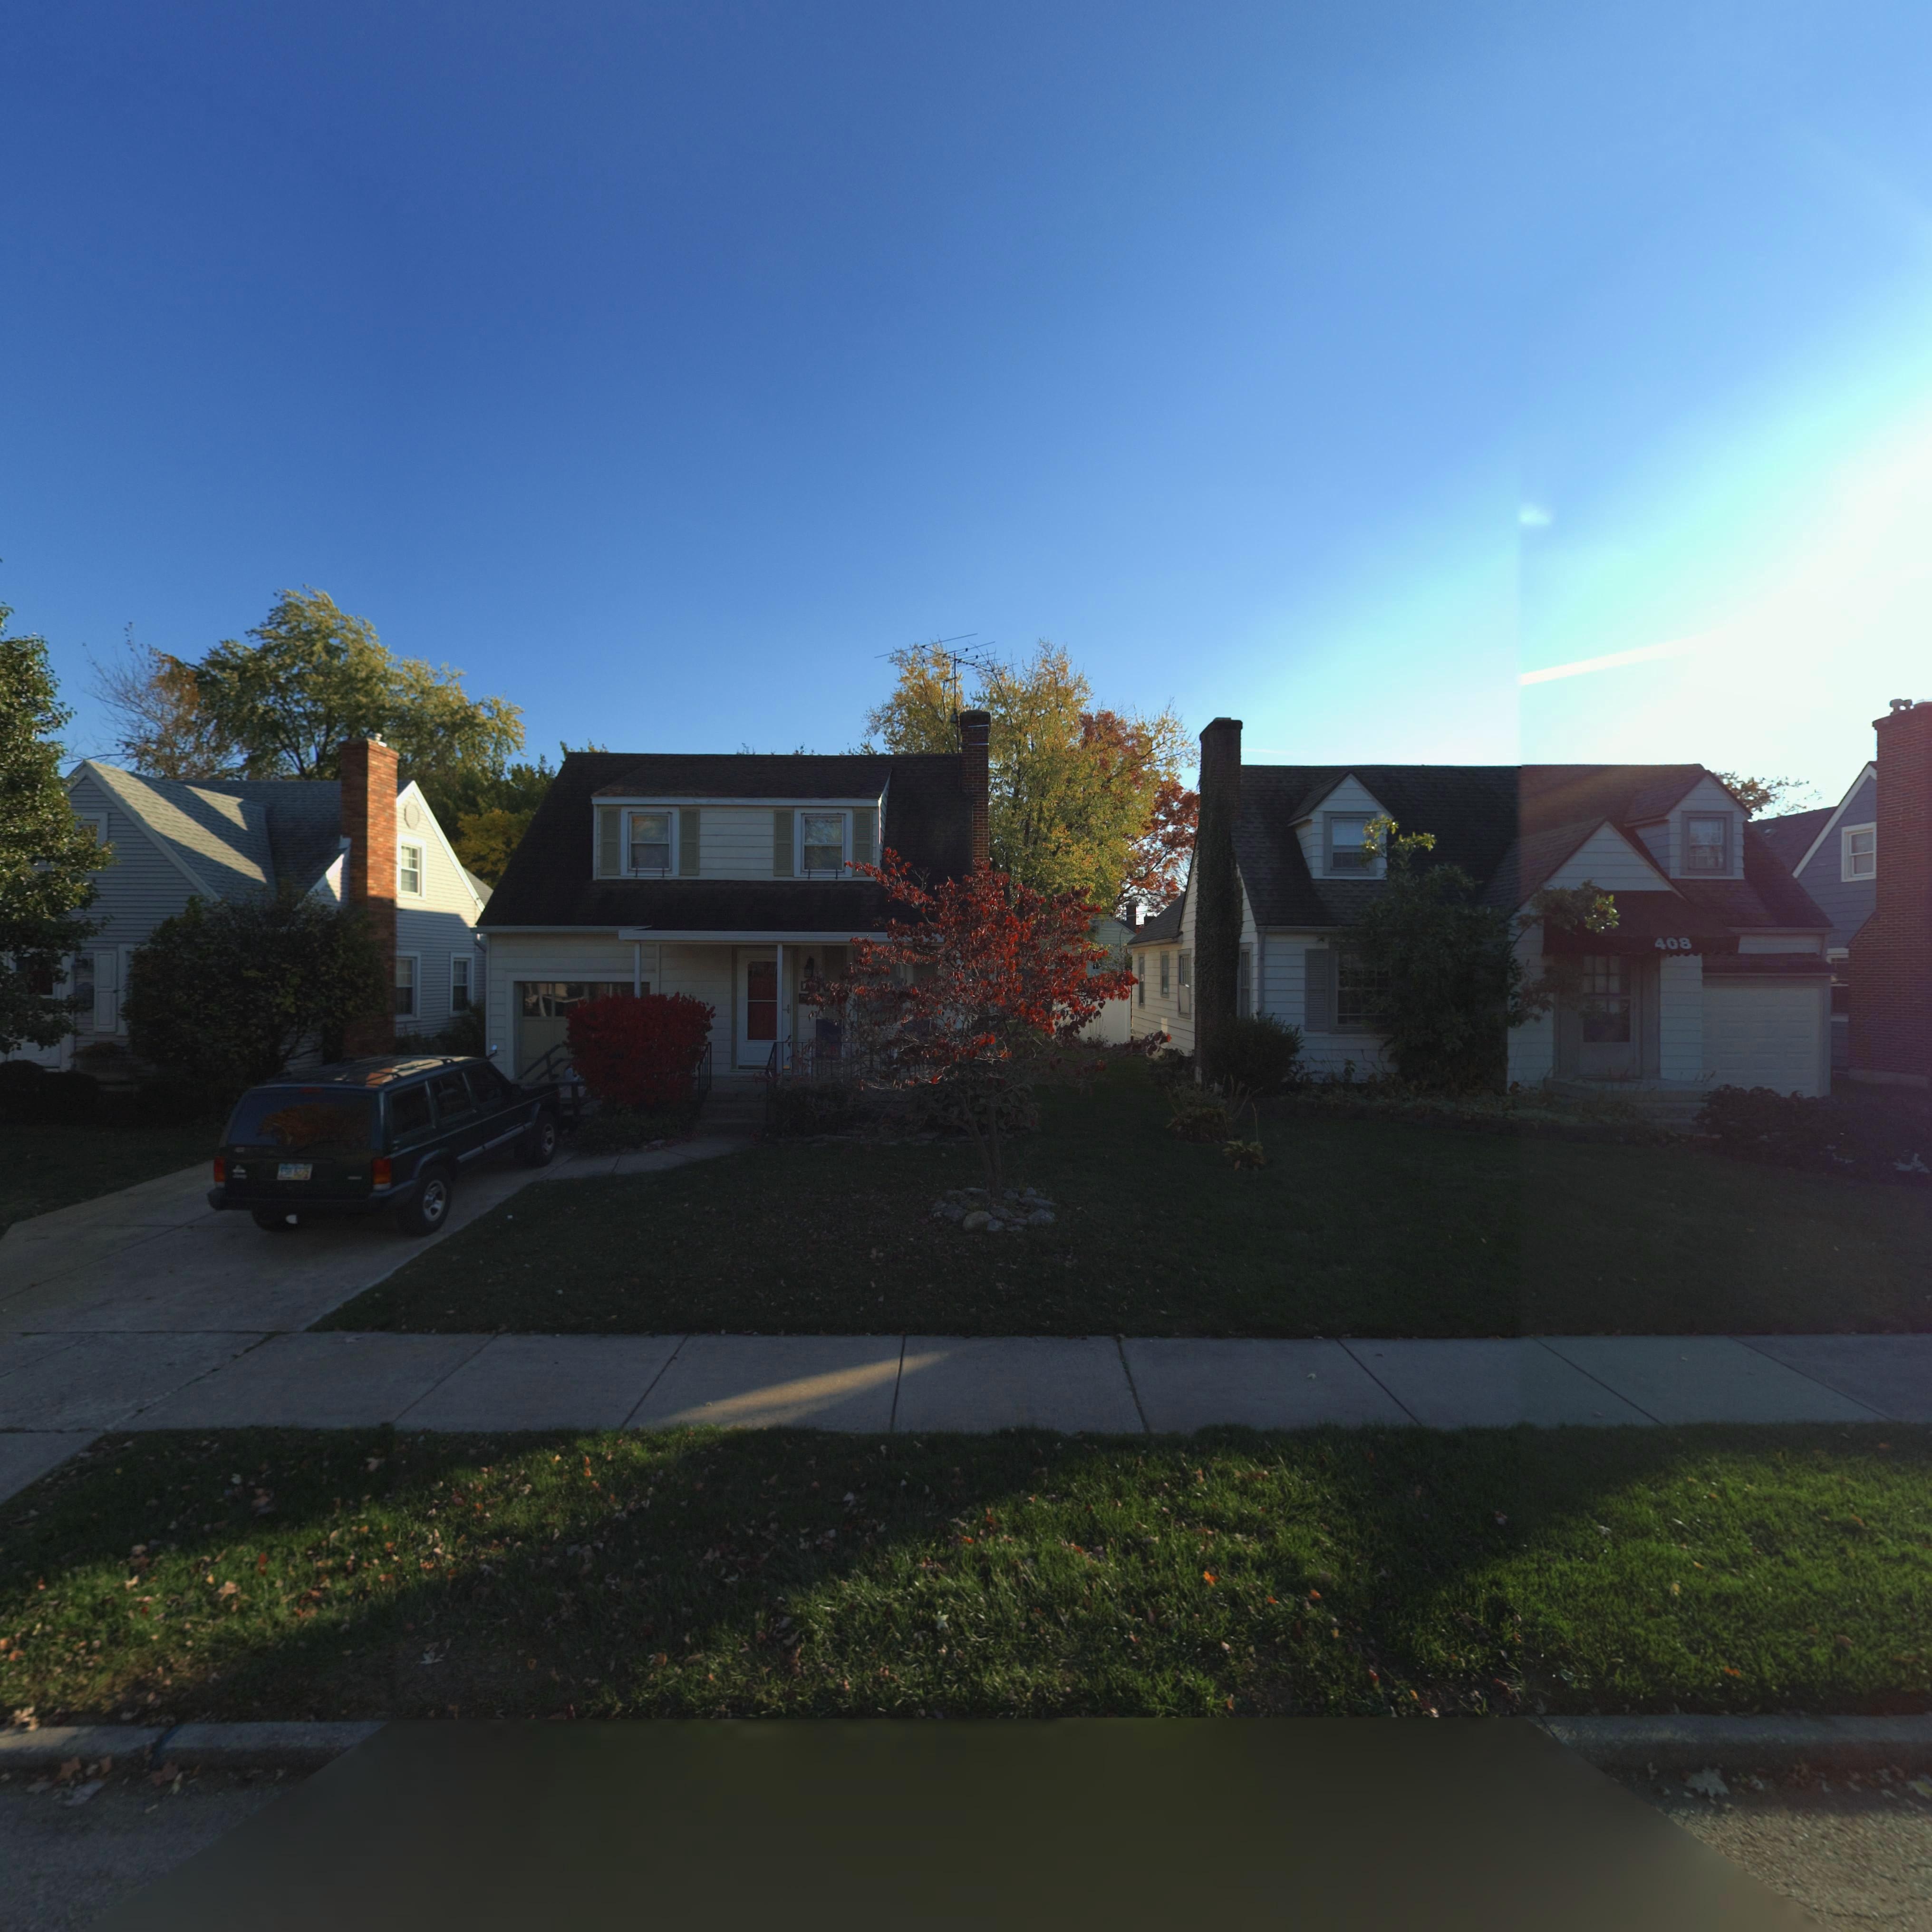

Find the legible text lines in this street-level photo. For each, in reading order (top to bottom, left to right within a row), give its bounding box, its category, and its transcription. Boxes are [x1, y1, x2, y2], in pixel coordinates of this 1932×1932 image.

[1652, 937, 1694, 950] StreetNumber: 408